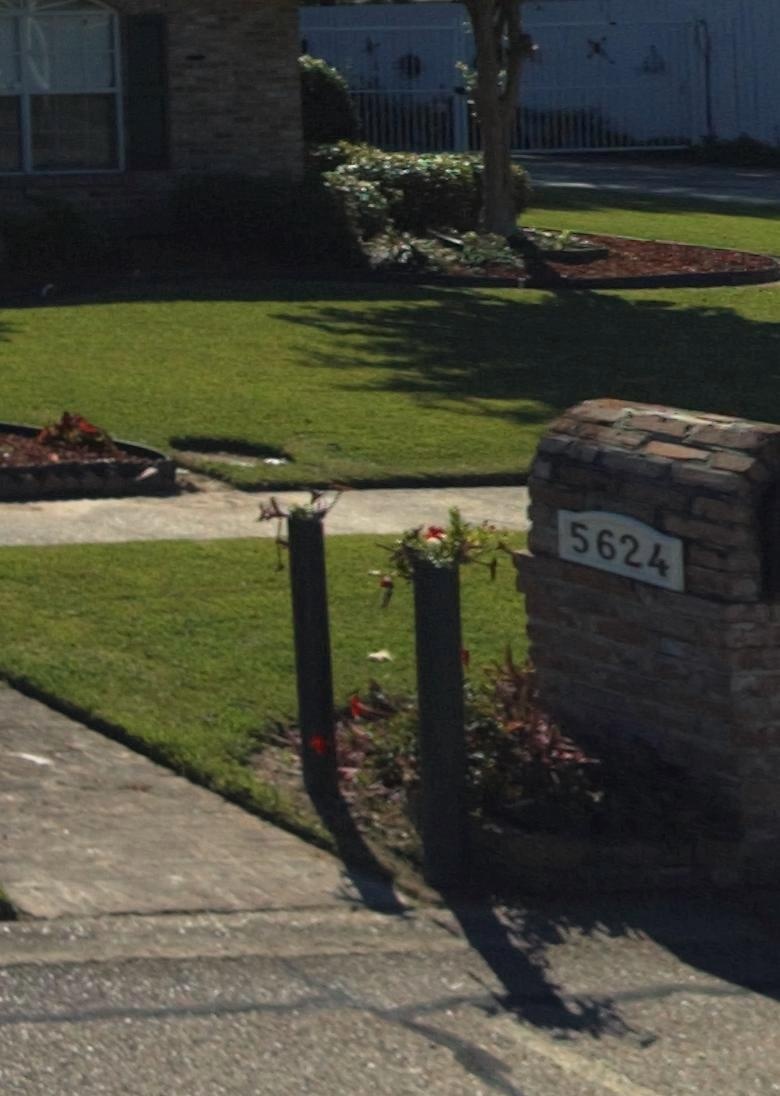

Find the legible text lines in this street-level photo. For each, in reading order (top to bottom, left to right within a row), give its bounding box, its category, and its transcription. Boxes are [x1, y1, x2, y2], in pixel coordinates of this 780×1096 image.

[567, 516, 673, 583] StreetNumber: 5624